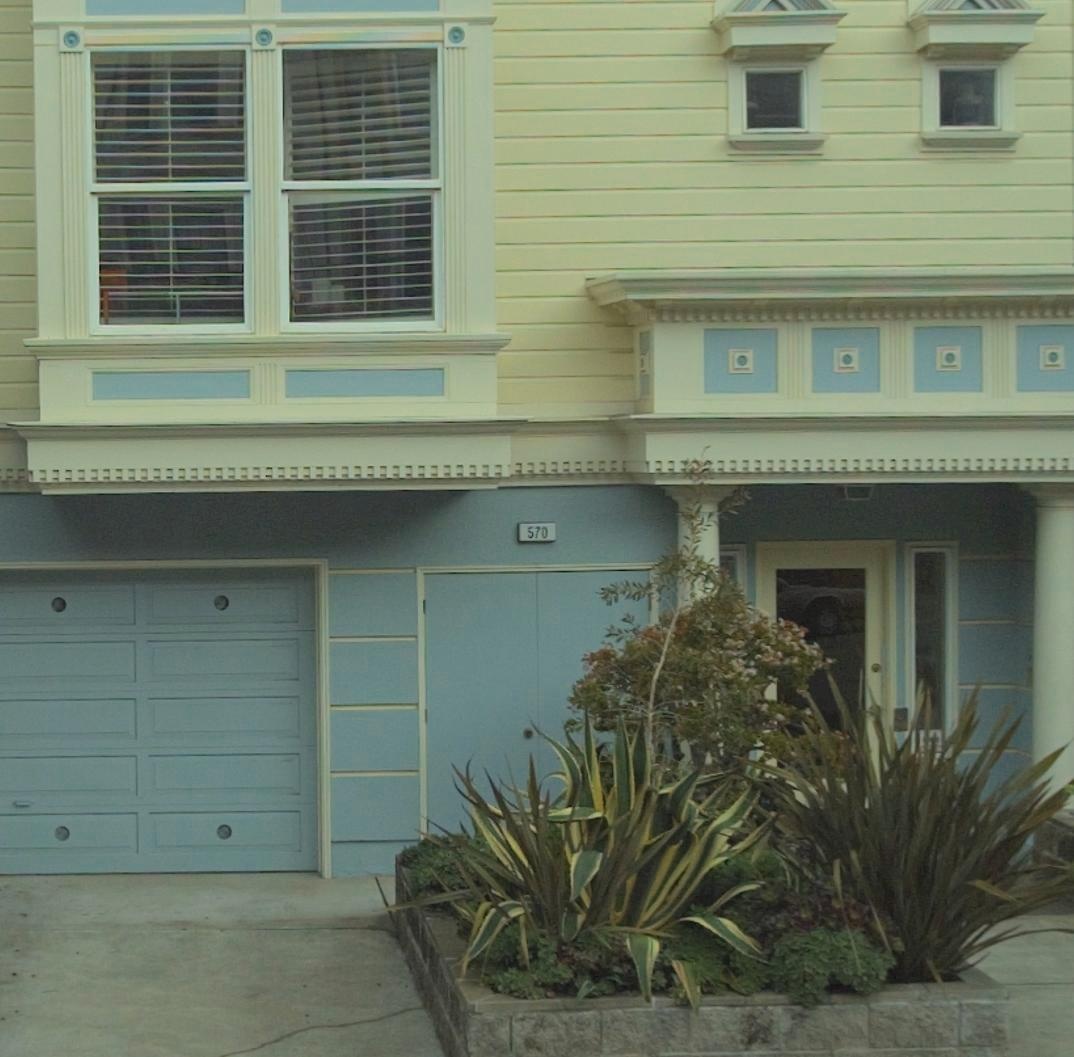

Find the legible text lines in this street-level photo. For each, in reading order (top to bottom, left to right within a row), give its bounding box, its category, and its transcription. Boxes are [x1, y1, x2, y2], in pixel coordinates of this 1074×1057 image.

[525, 524, 550, 541] StreetNumber: 570